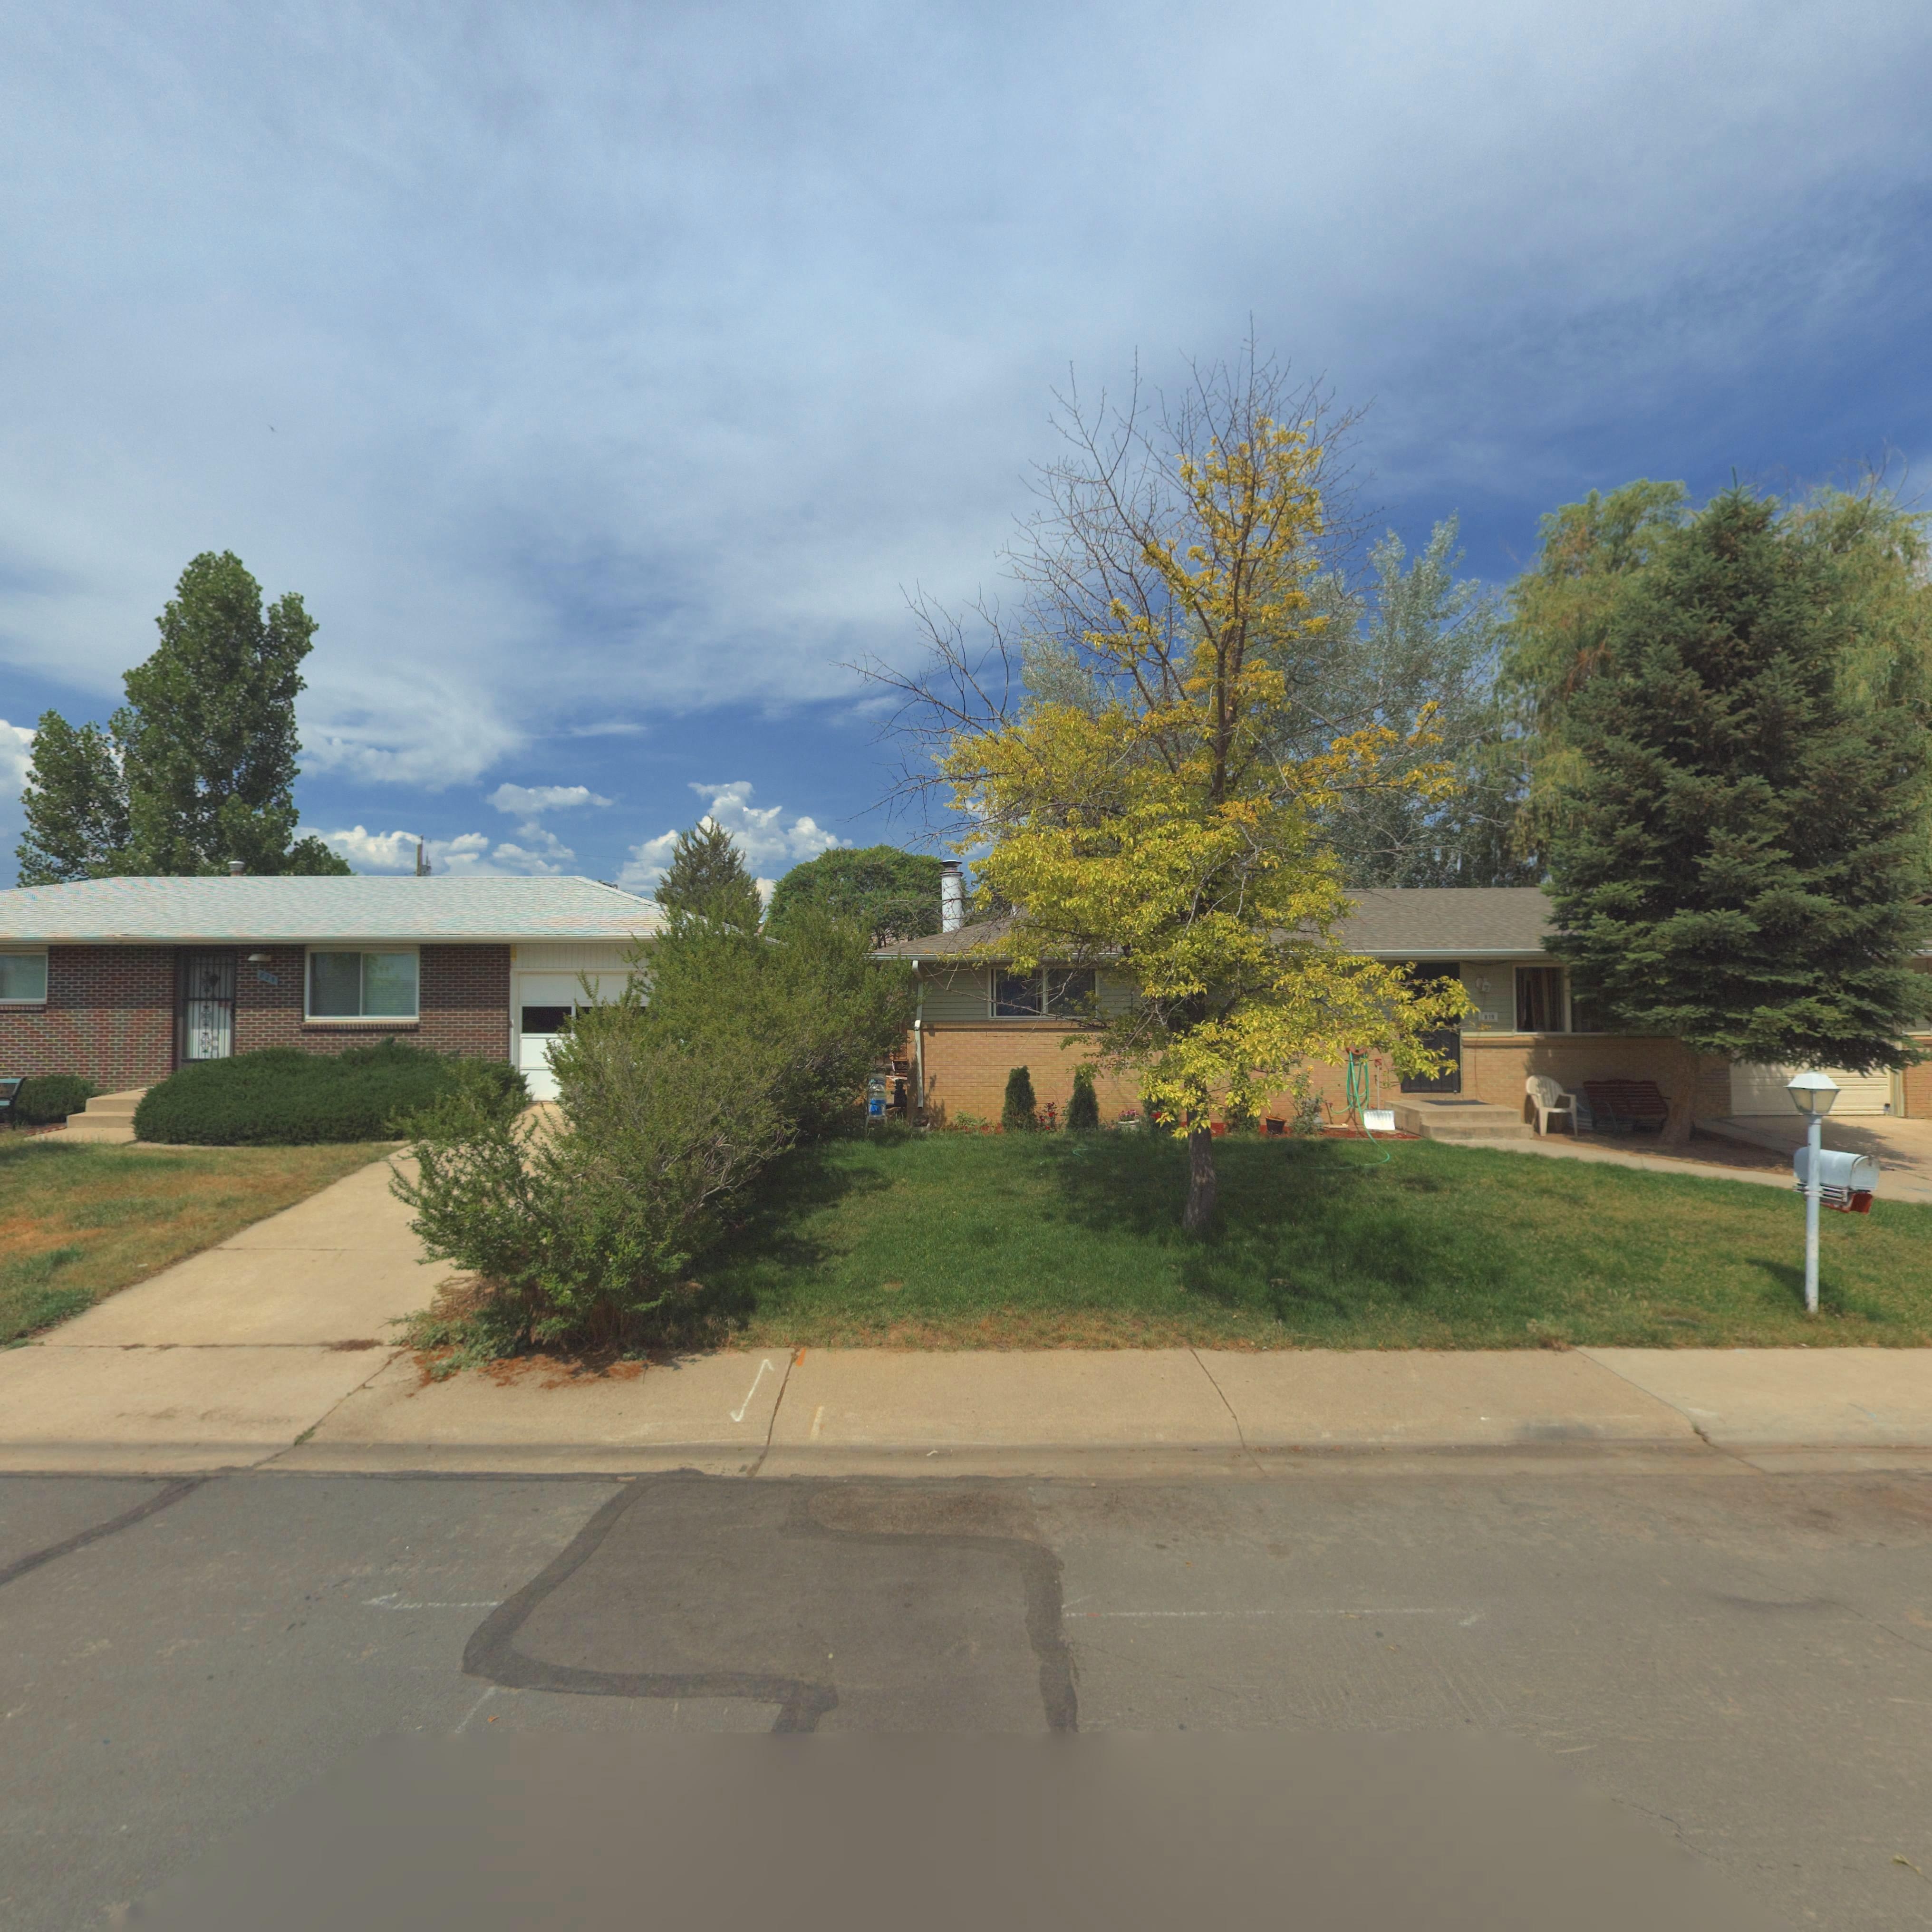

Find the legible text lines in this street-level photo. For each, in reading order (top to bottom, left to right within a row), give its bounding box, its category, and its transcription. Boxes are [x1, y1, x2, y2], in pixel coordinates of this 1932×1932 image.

[259, 971, 275, 984] StreetNumber: 8**
[1484, 1014, 1495, 1020] StreetNumber: 819